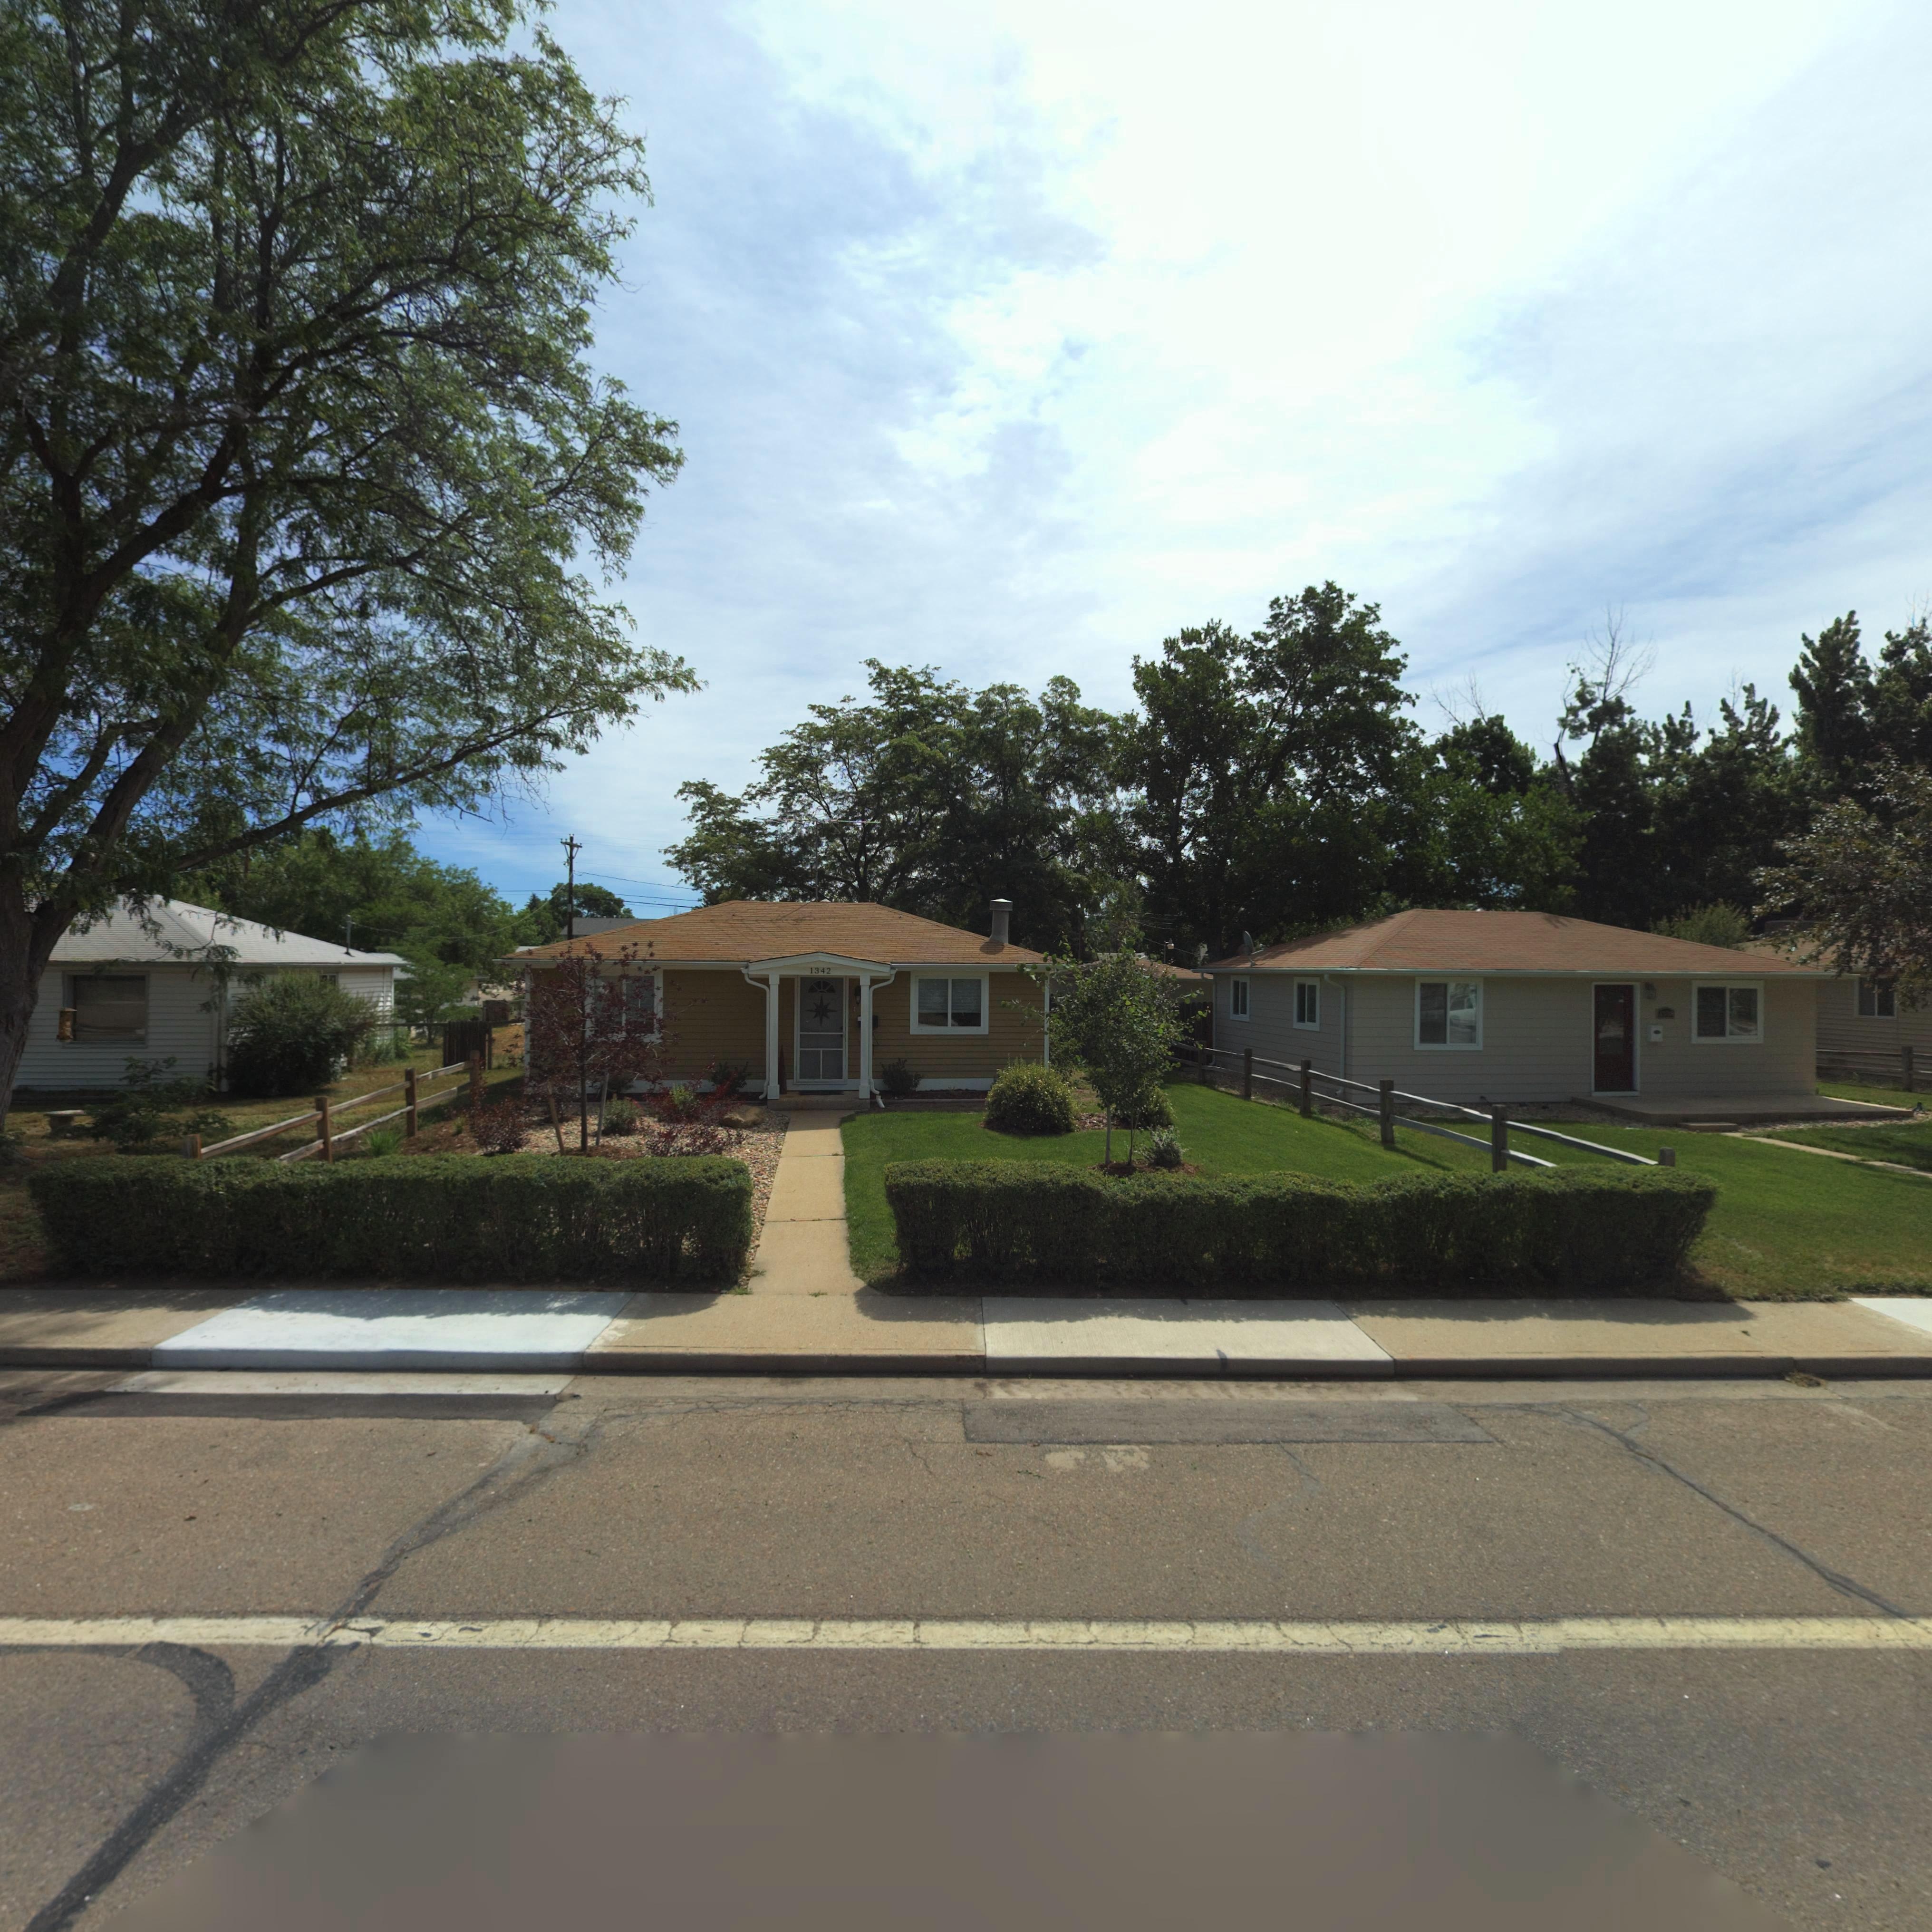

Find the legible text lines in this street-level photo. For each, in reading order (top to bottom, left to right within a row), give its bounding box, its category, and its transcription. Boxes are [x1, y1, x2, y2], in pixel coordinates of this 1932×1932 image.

[810, 967, 831, 974] StreetNumber: 1342